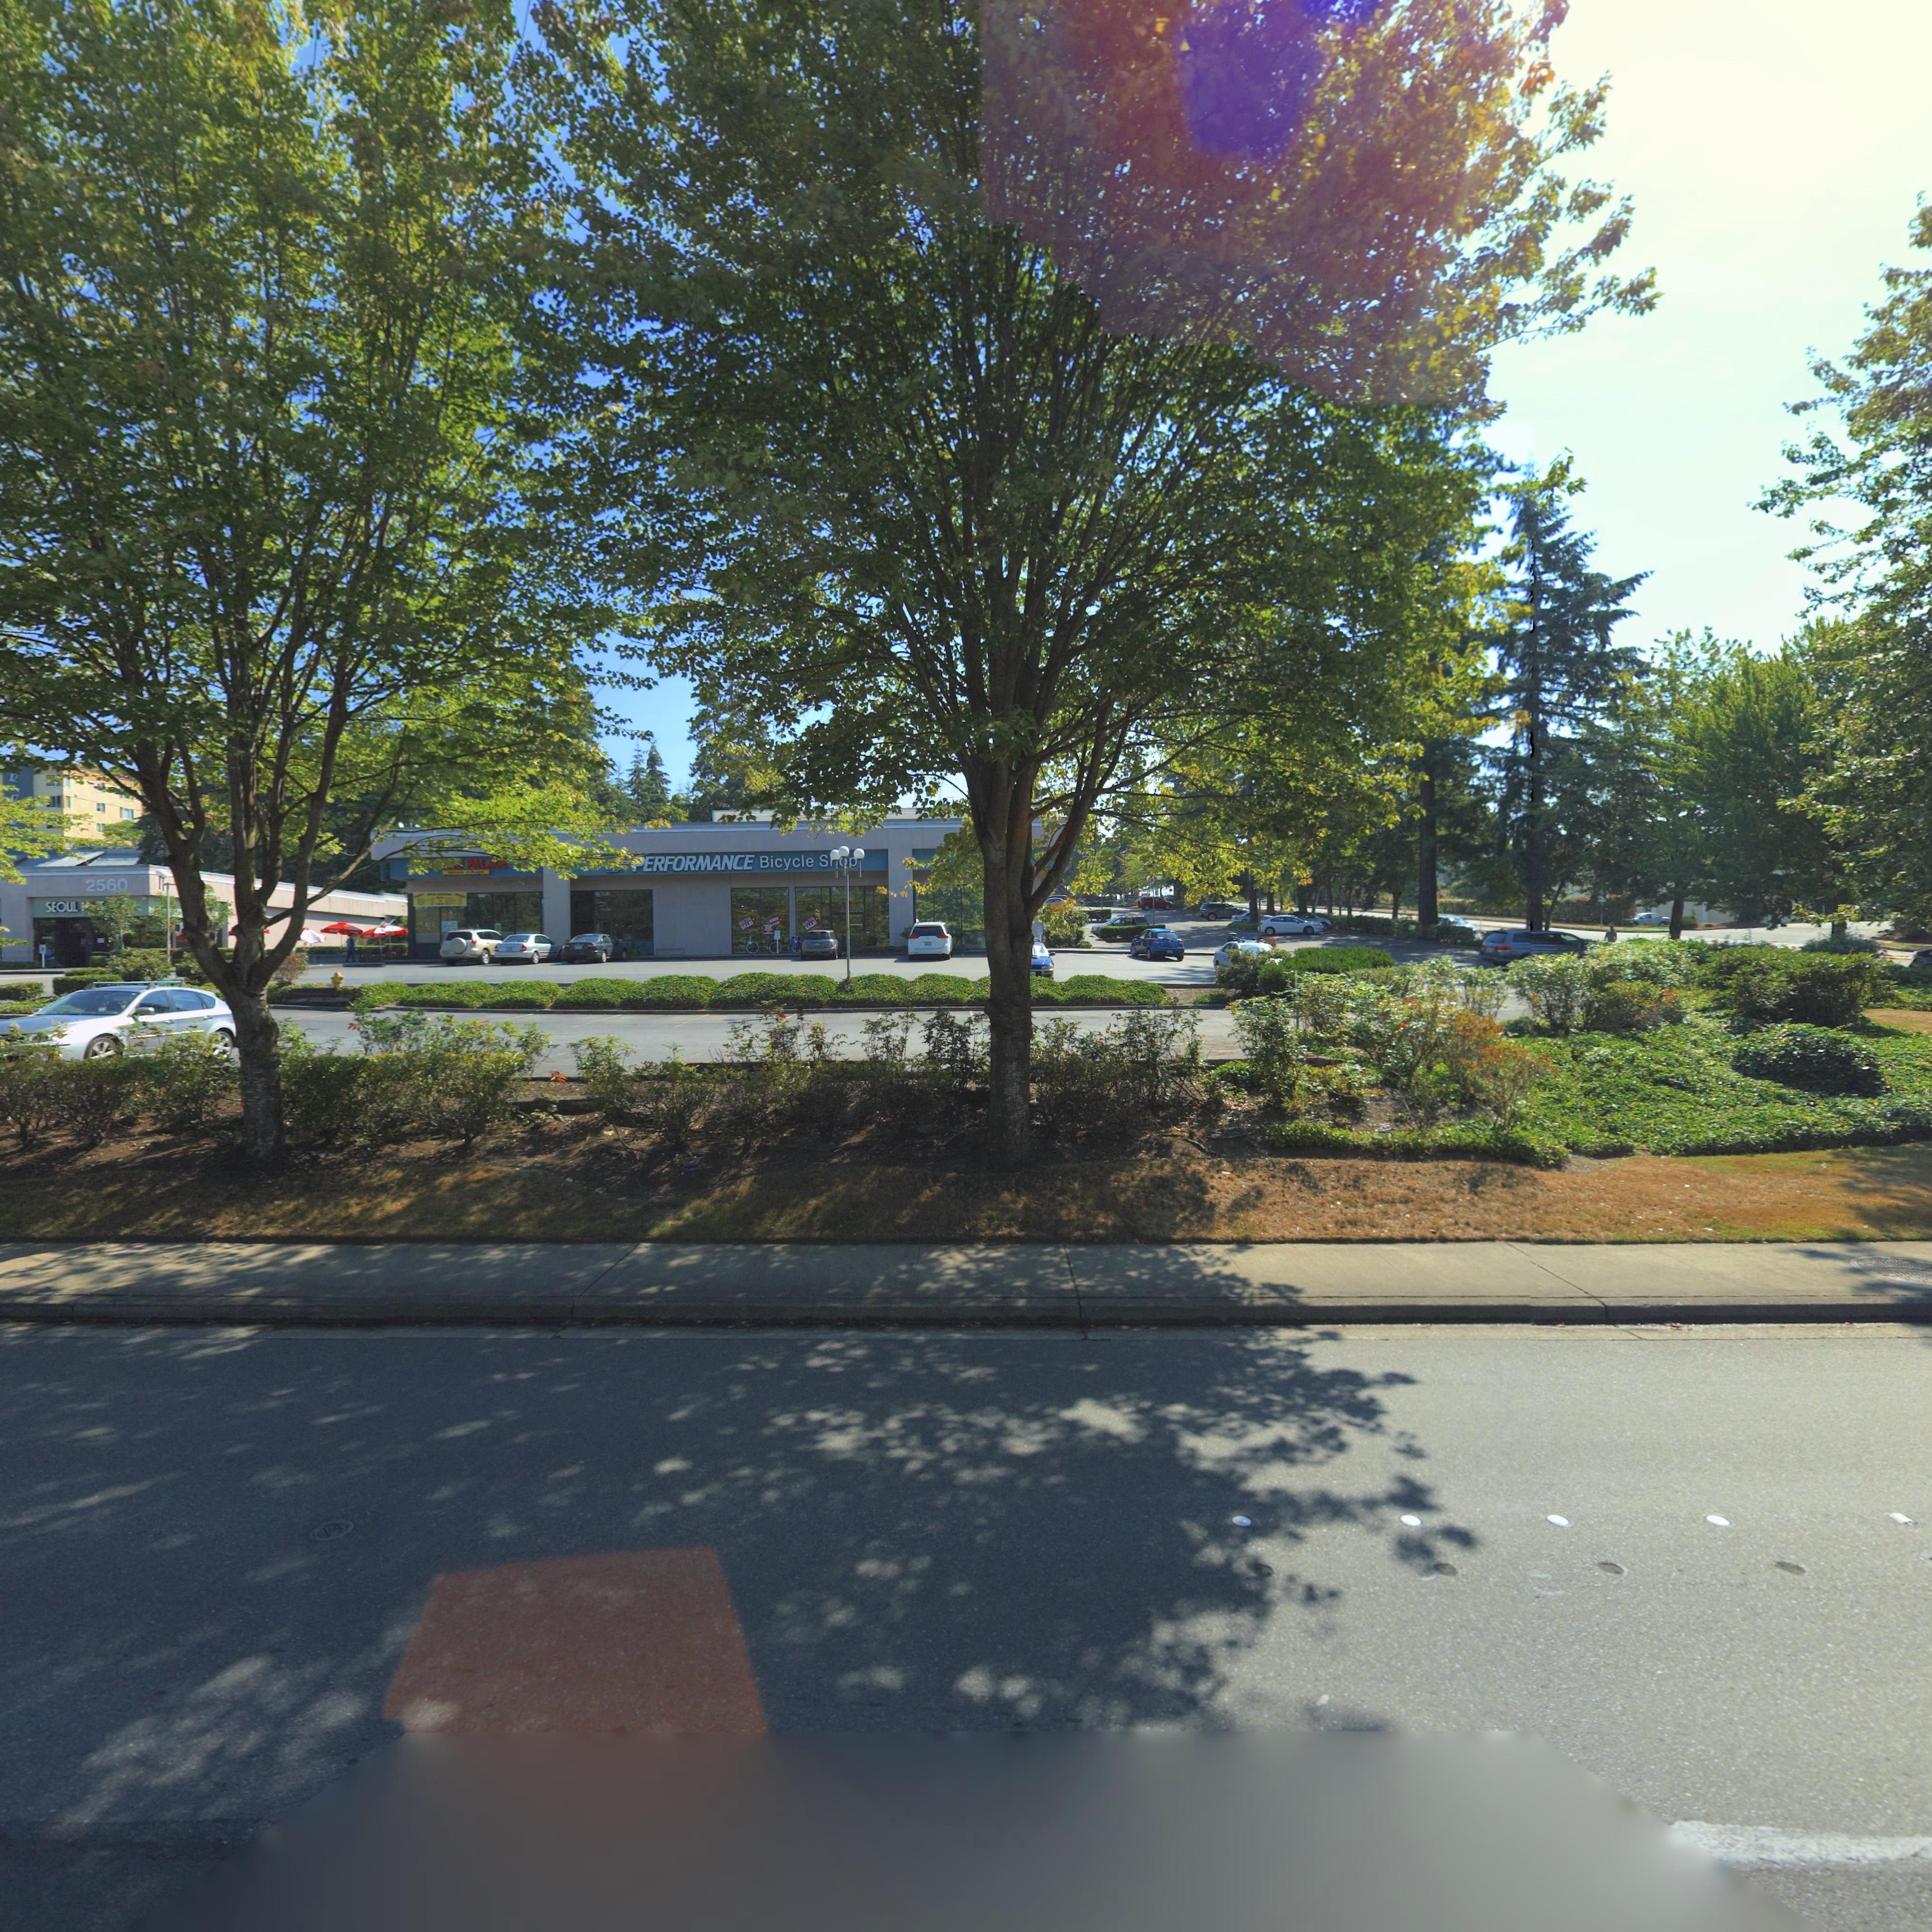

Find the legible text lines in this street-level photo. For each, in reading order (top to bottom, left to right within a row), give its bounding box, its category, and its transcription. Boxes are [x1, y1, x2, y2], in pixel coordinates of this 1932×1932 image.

[466, 859, 493, 869] BusinessName: PALA
[632, 854, 755, 871] BusinessName: *ERFORMANCE
[759, 854, 829, 871] BusinessName: Bicycle S
[85, 878, 127, 892] StreetNumber: 2560
[45, 901, 79, 912] BusinessName: SEOUL